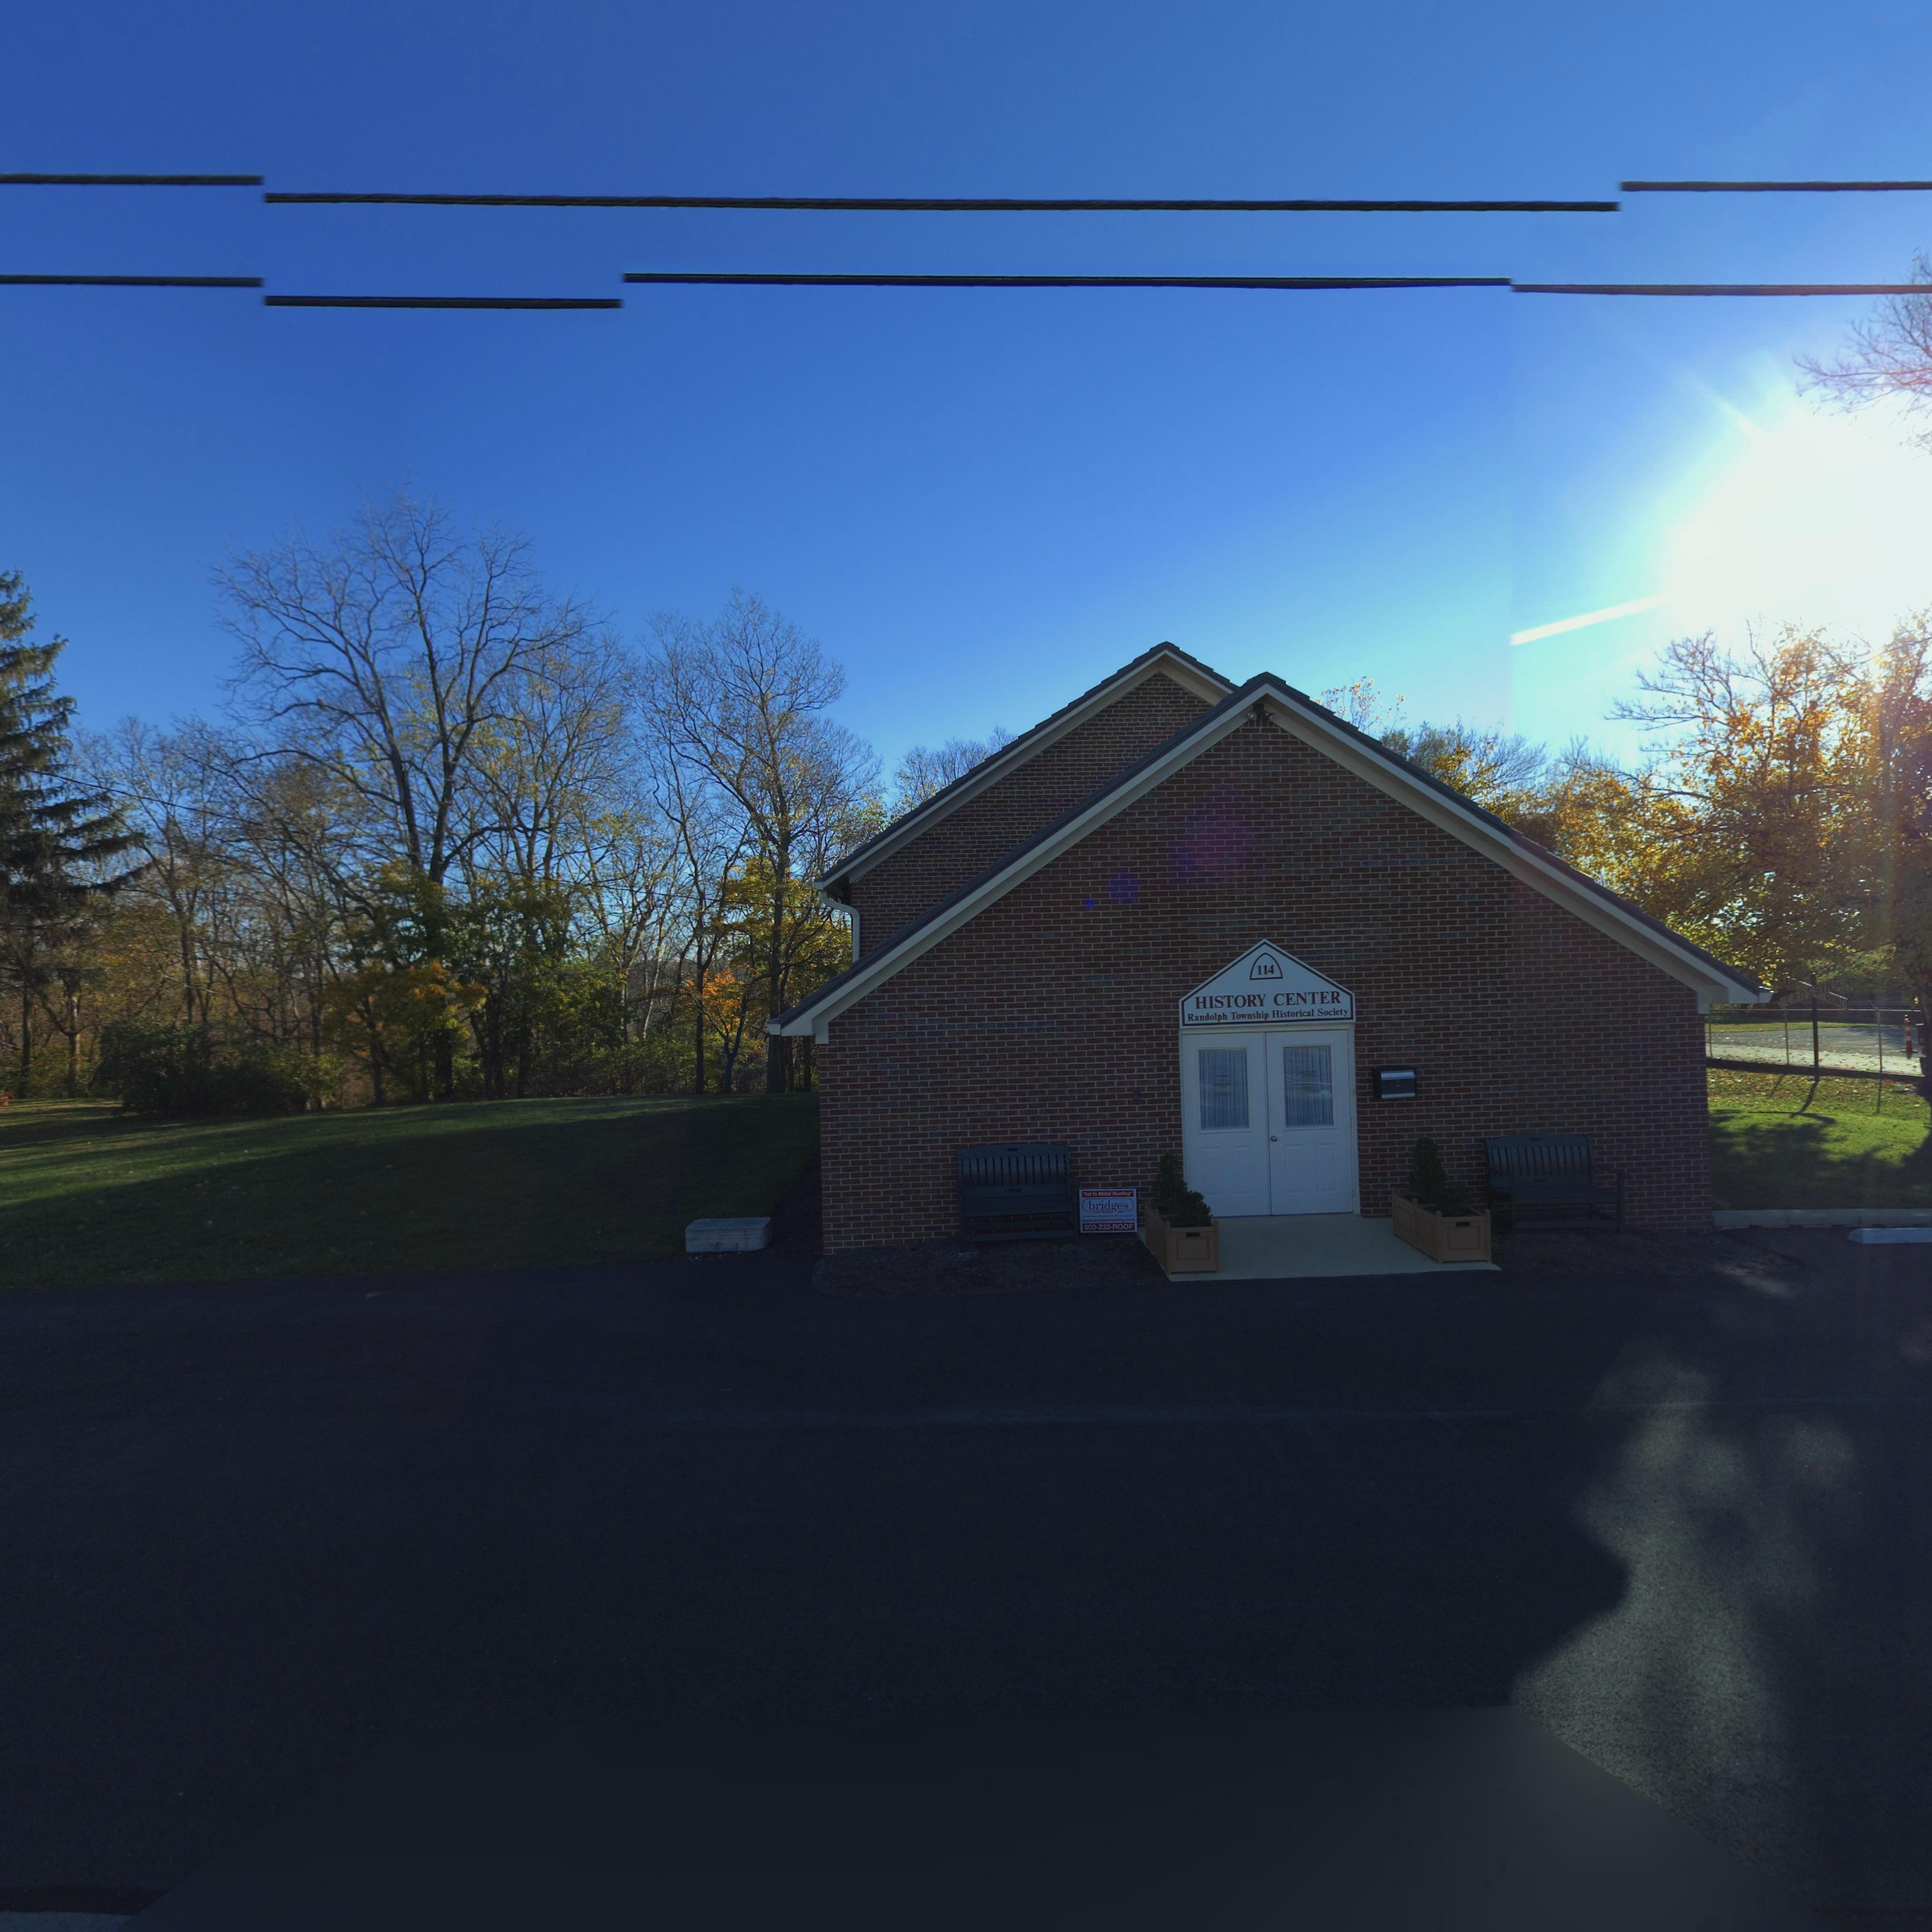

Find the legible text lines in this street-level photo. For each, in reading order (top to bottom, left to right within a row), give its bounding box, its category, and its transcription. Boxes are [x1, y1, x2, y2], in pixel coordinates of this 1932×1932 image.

[1256, 964, 1275, 976] StreetNumber: 114
[1194, 991, 1342, 1010] None: HISTORY CENTER
[1186, 1007, 1349, 1022] None: Randolph Township Historical Society
[1089, 1199, 1128, 1211] None: bridges
[1084, 1223, 1133, 1231] None: 800-232-ROOF